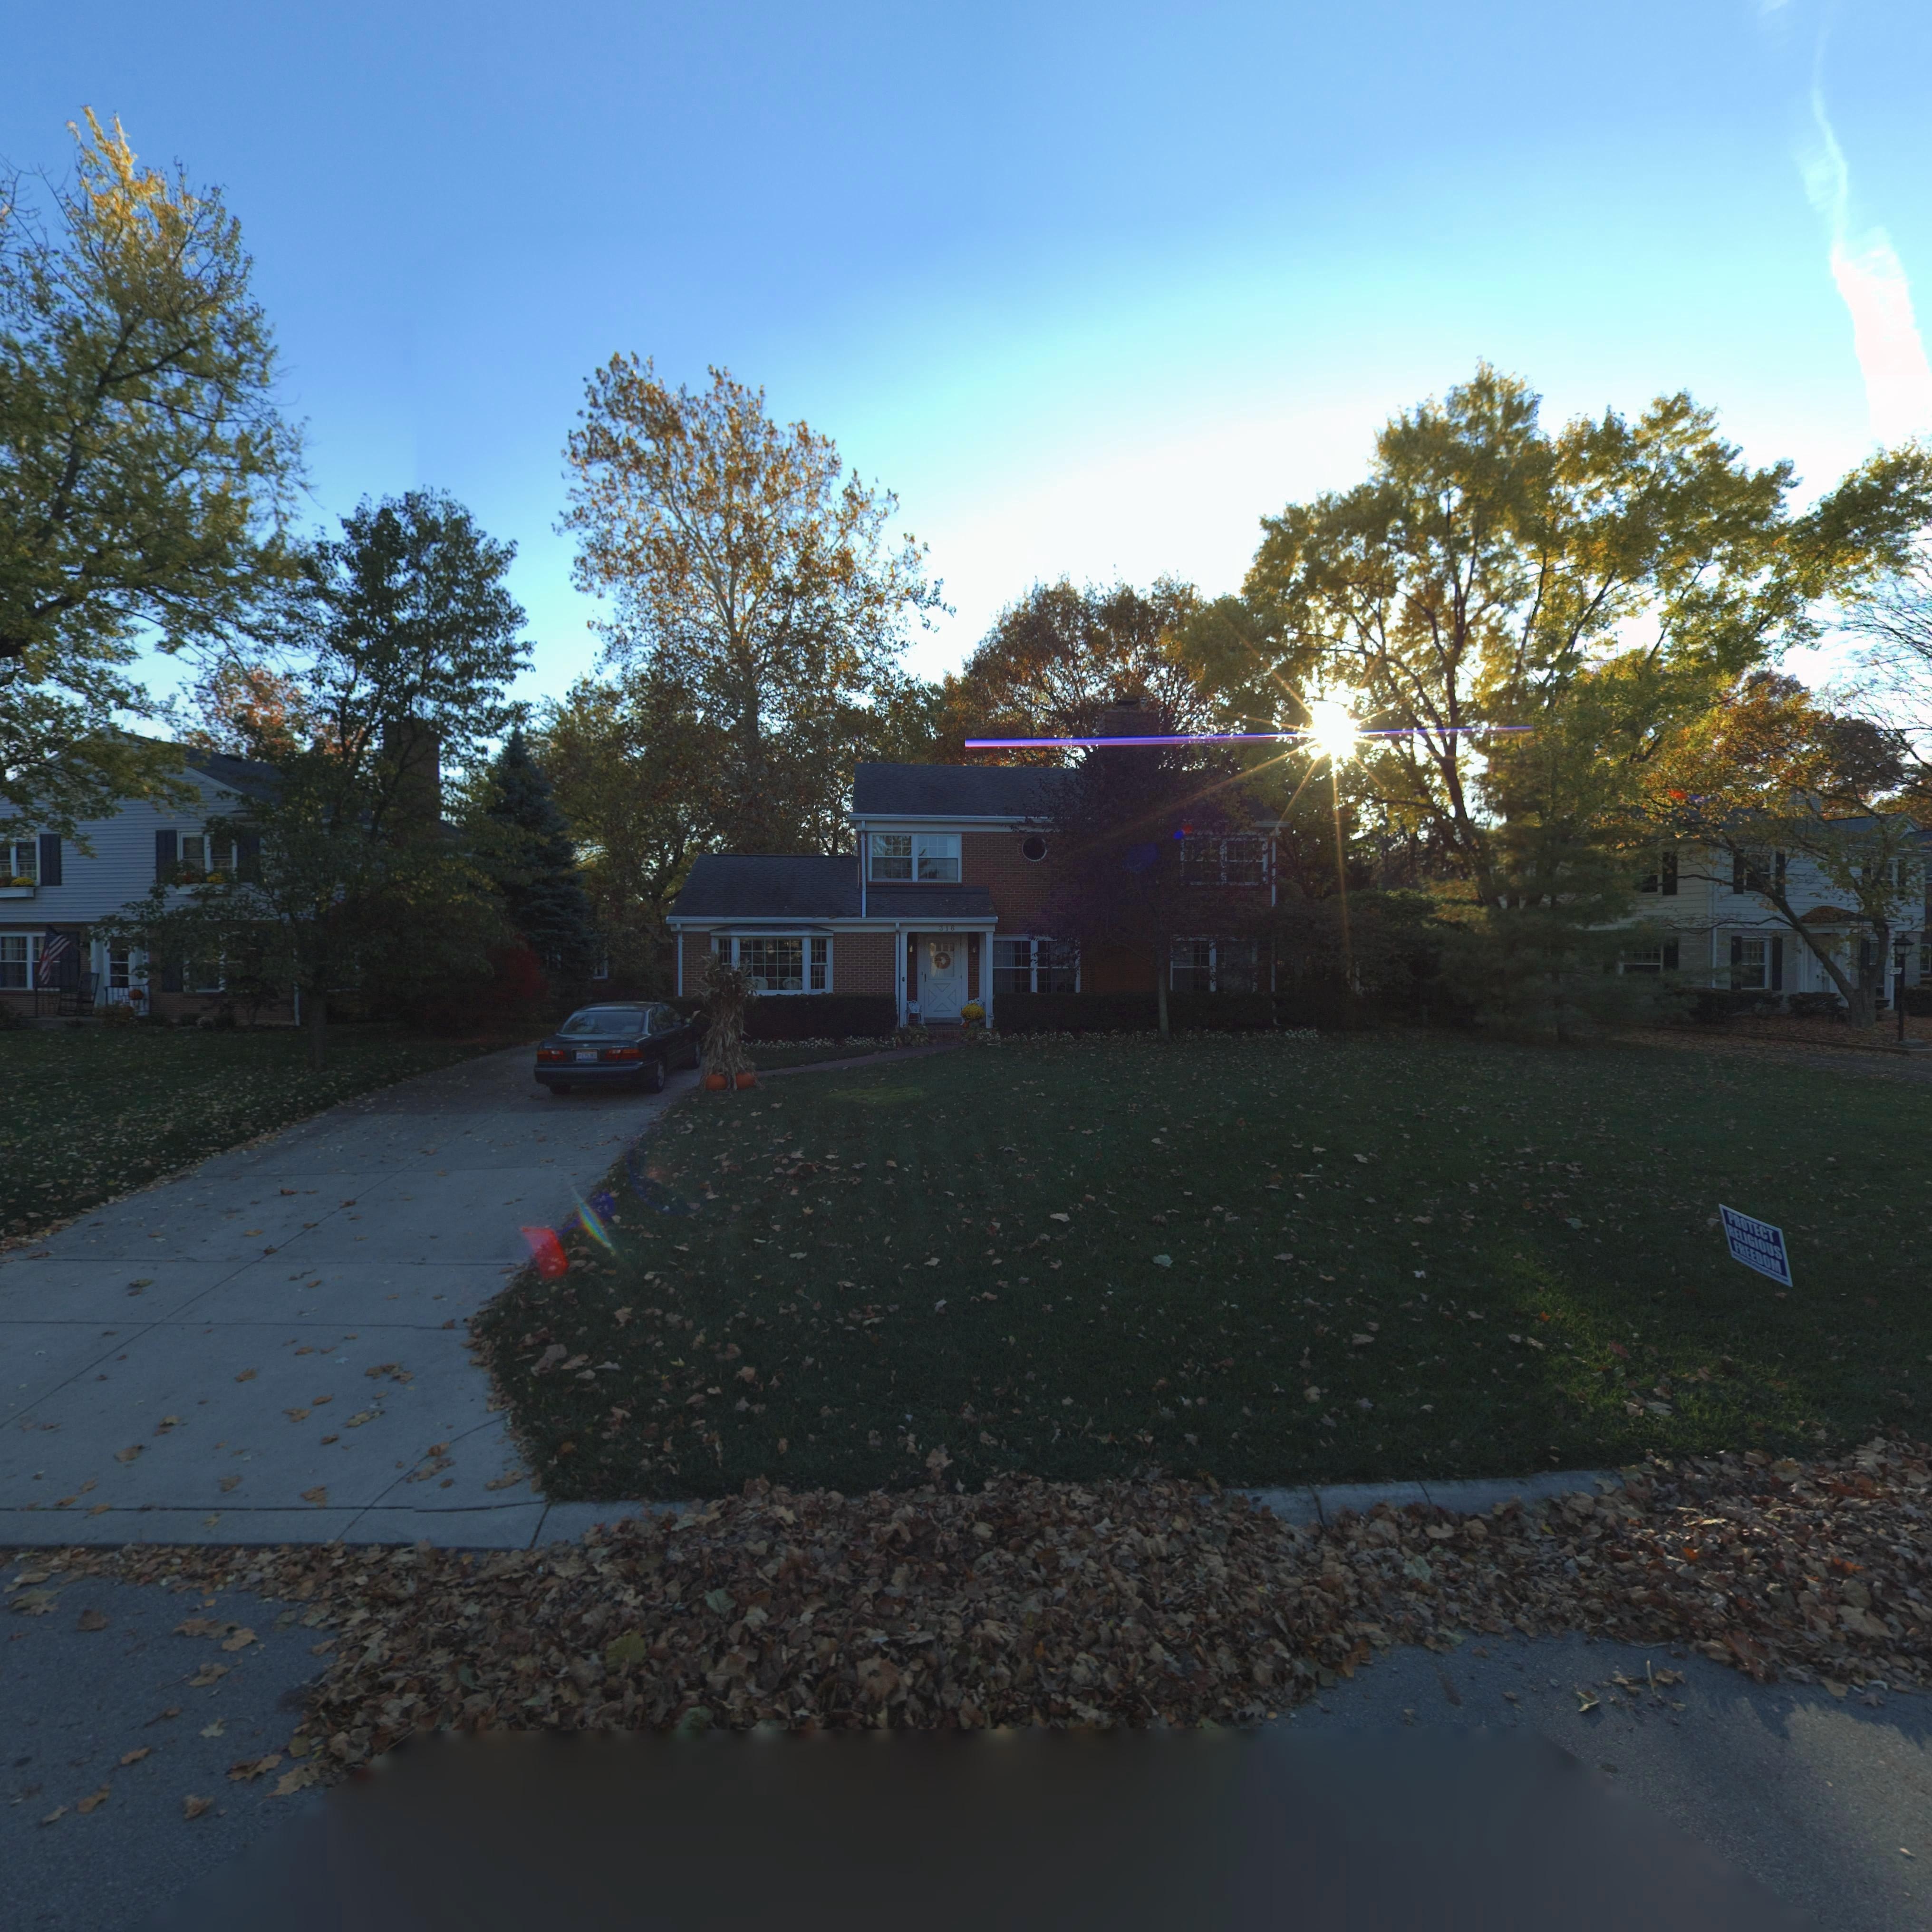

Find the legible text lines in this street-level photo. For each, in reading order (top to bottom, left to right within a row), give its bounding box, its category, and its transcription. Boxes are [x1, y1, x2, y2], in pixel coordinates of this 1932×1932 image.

[938, 925, 956, 932] StreetNumber: 316